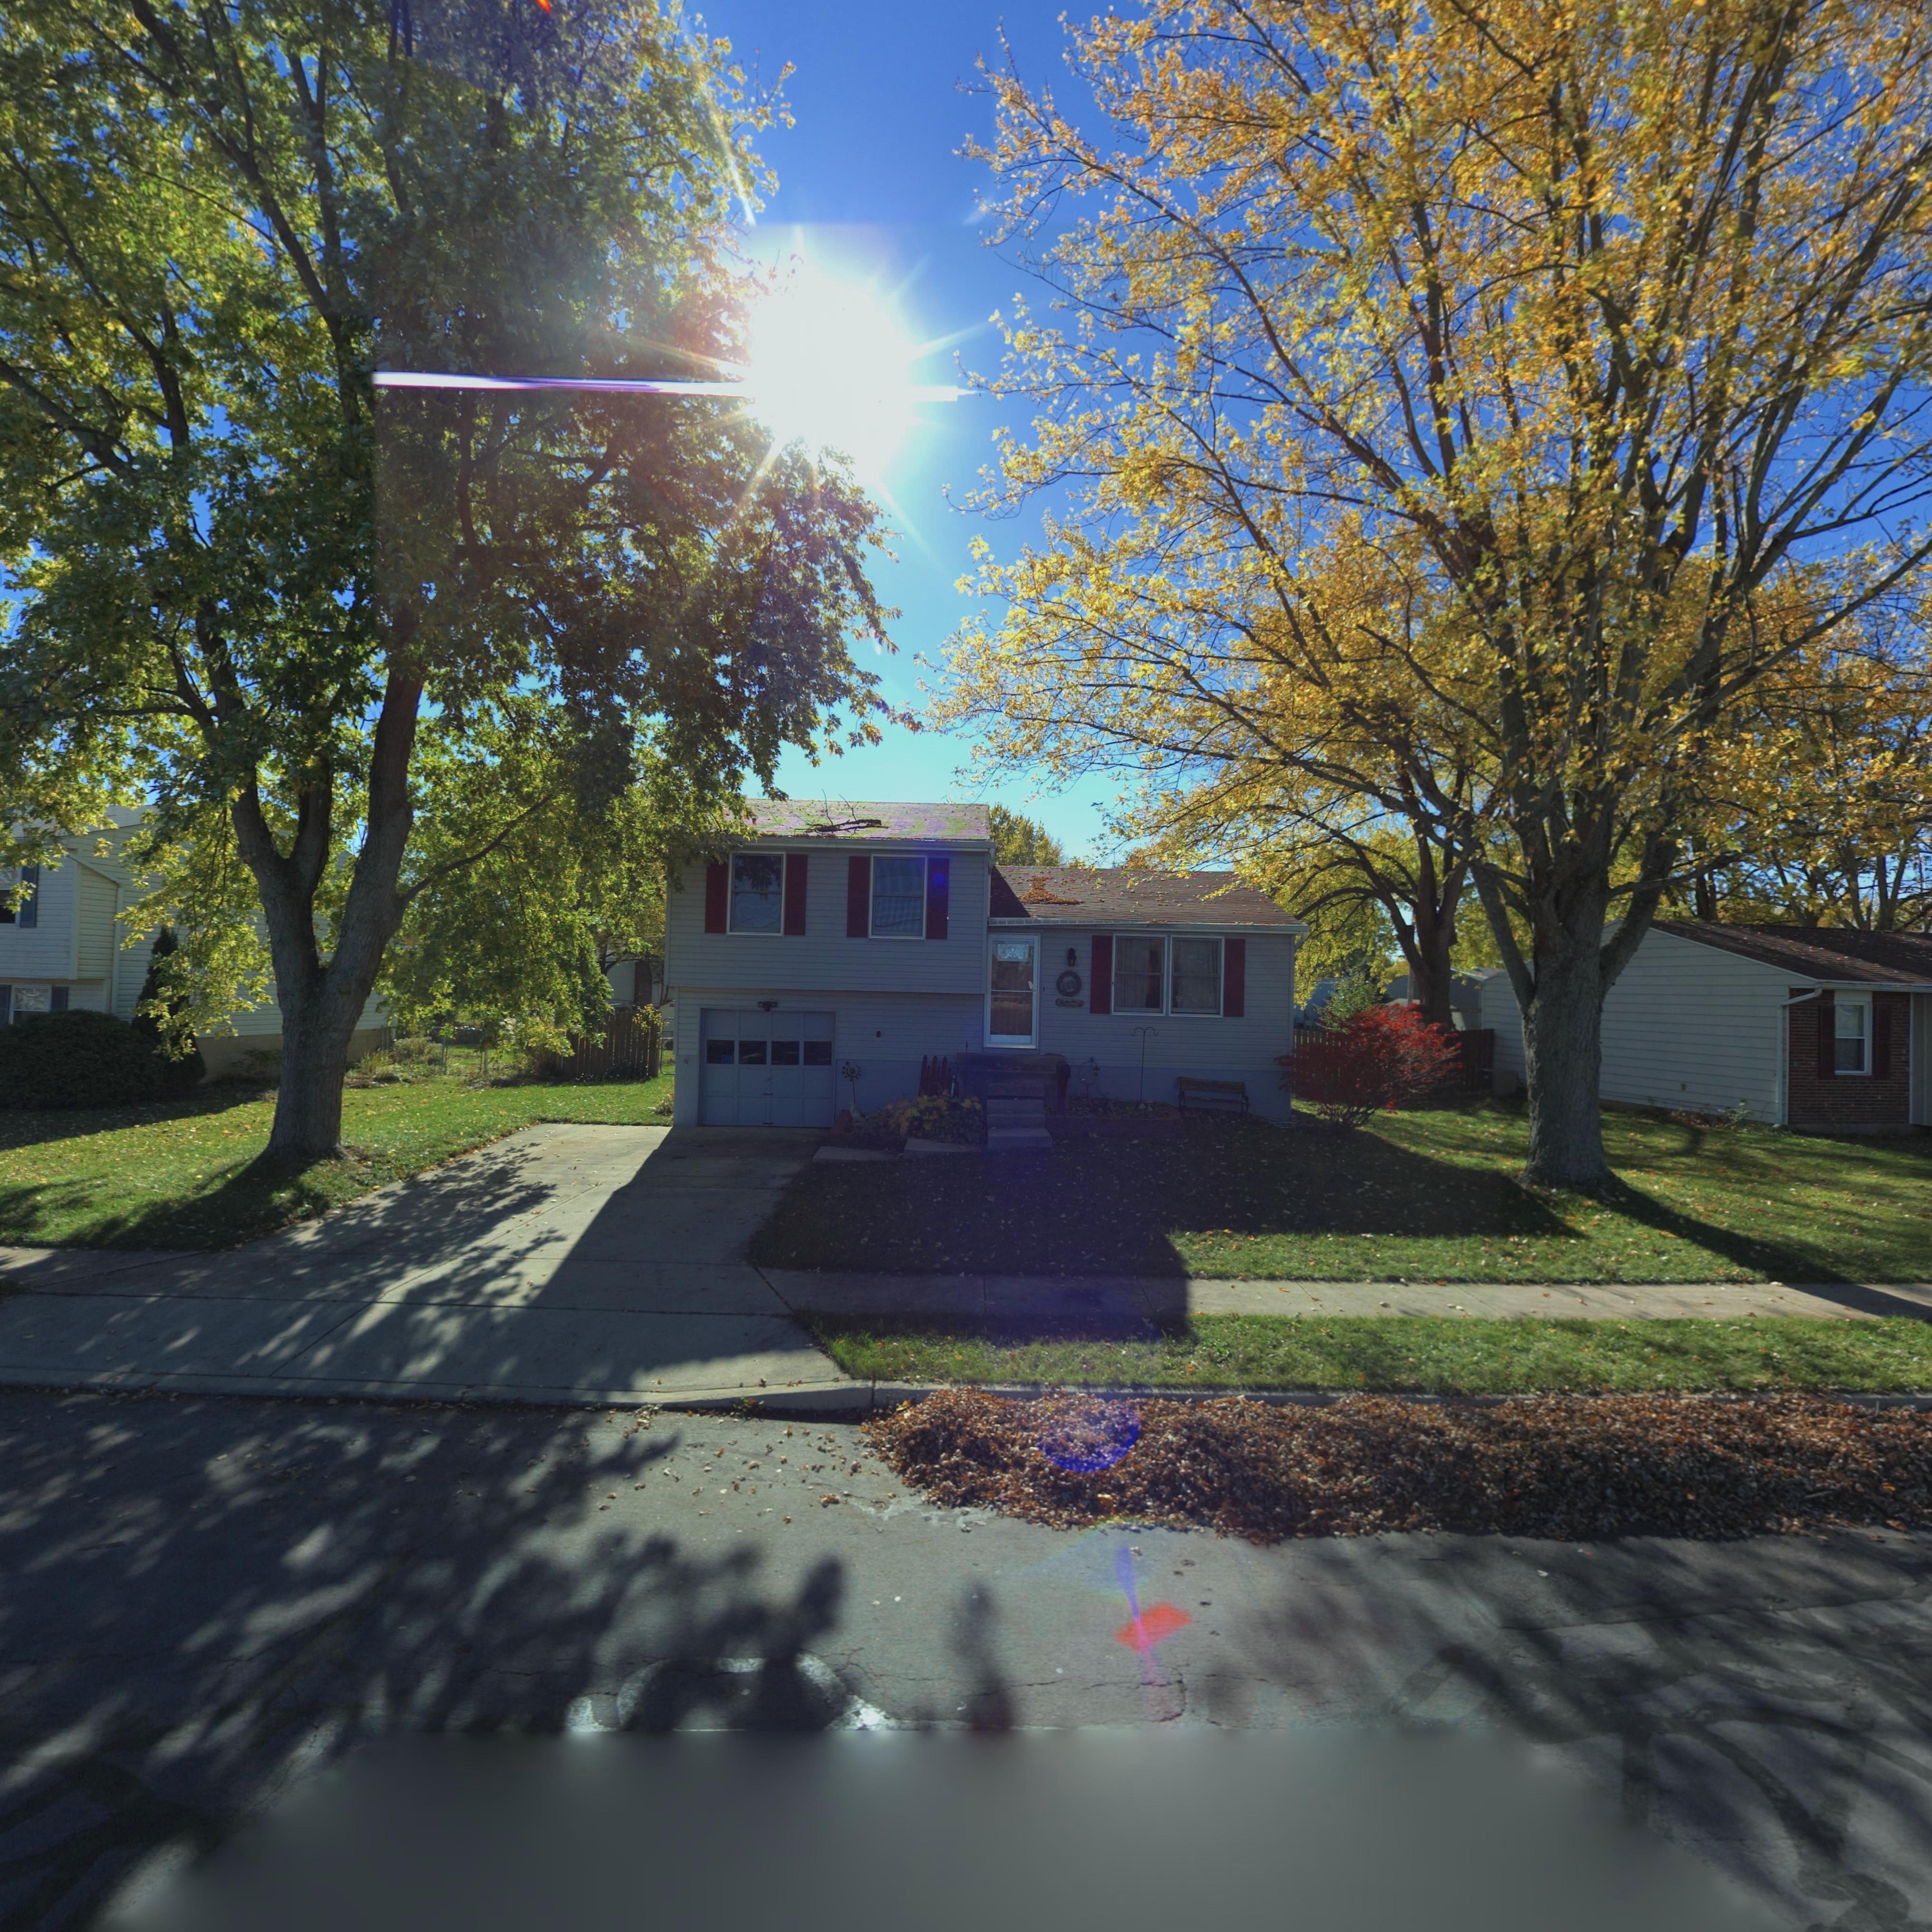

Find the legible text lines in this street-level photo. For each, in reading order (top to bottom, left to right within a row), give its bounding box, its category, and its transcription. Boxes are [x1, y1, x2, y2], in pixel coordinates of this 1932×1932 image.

[1066, 981, 1075, 990] StreetNumber: 57